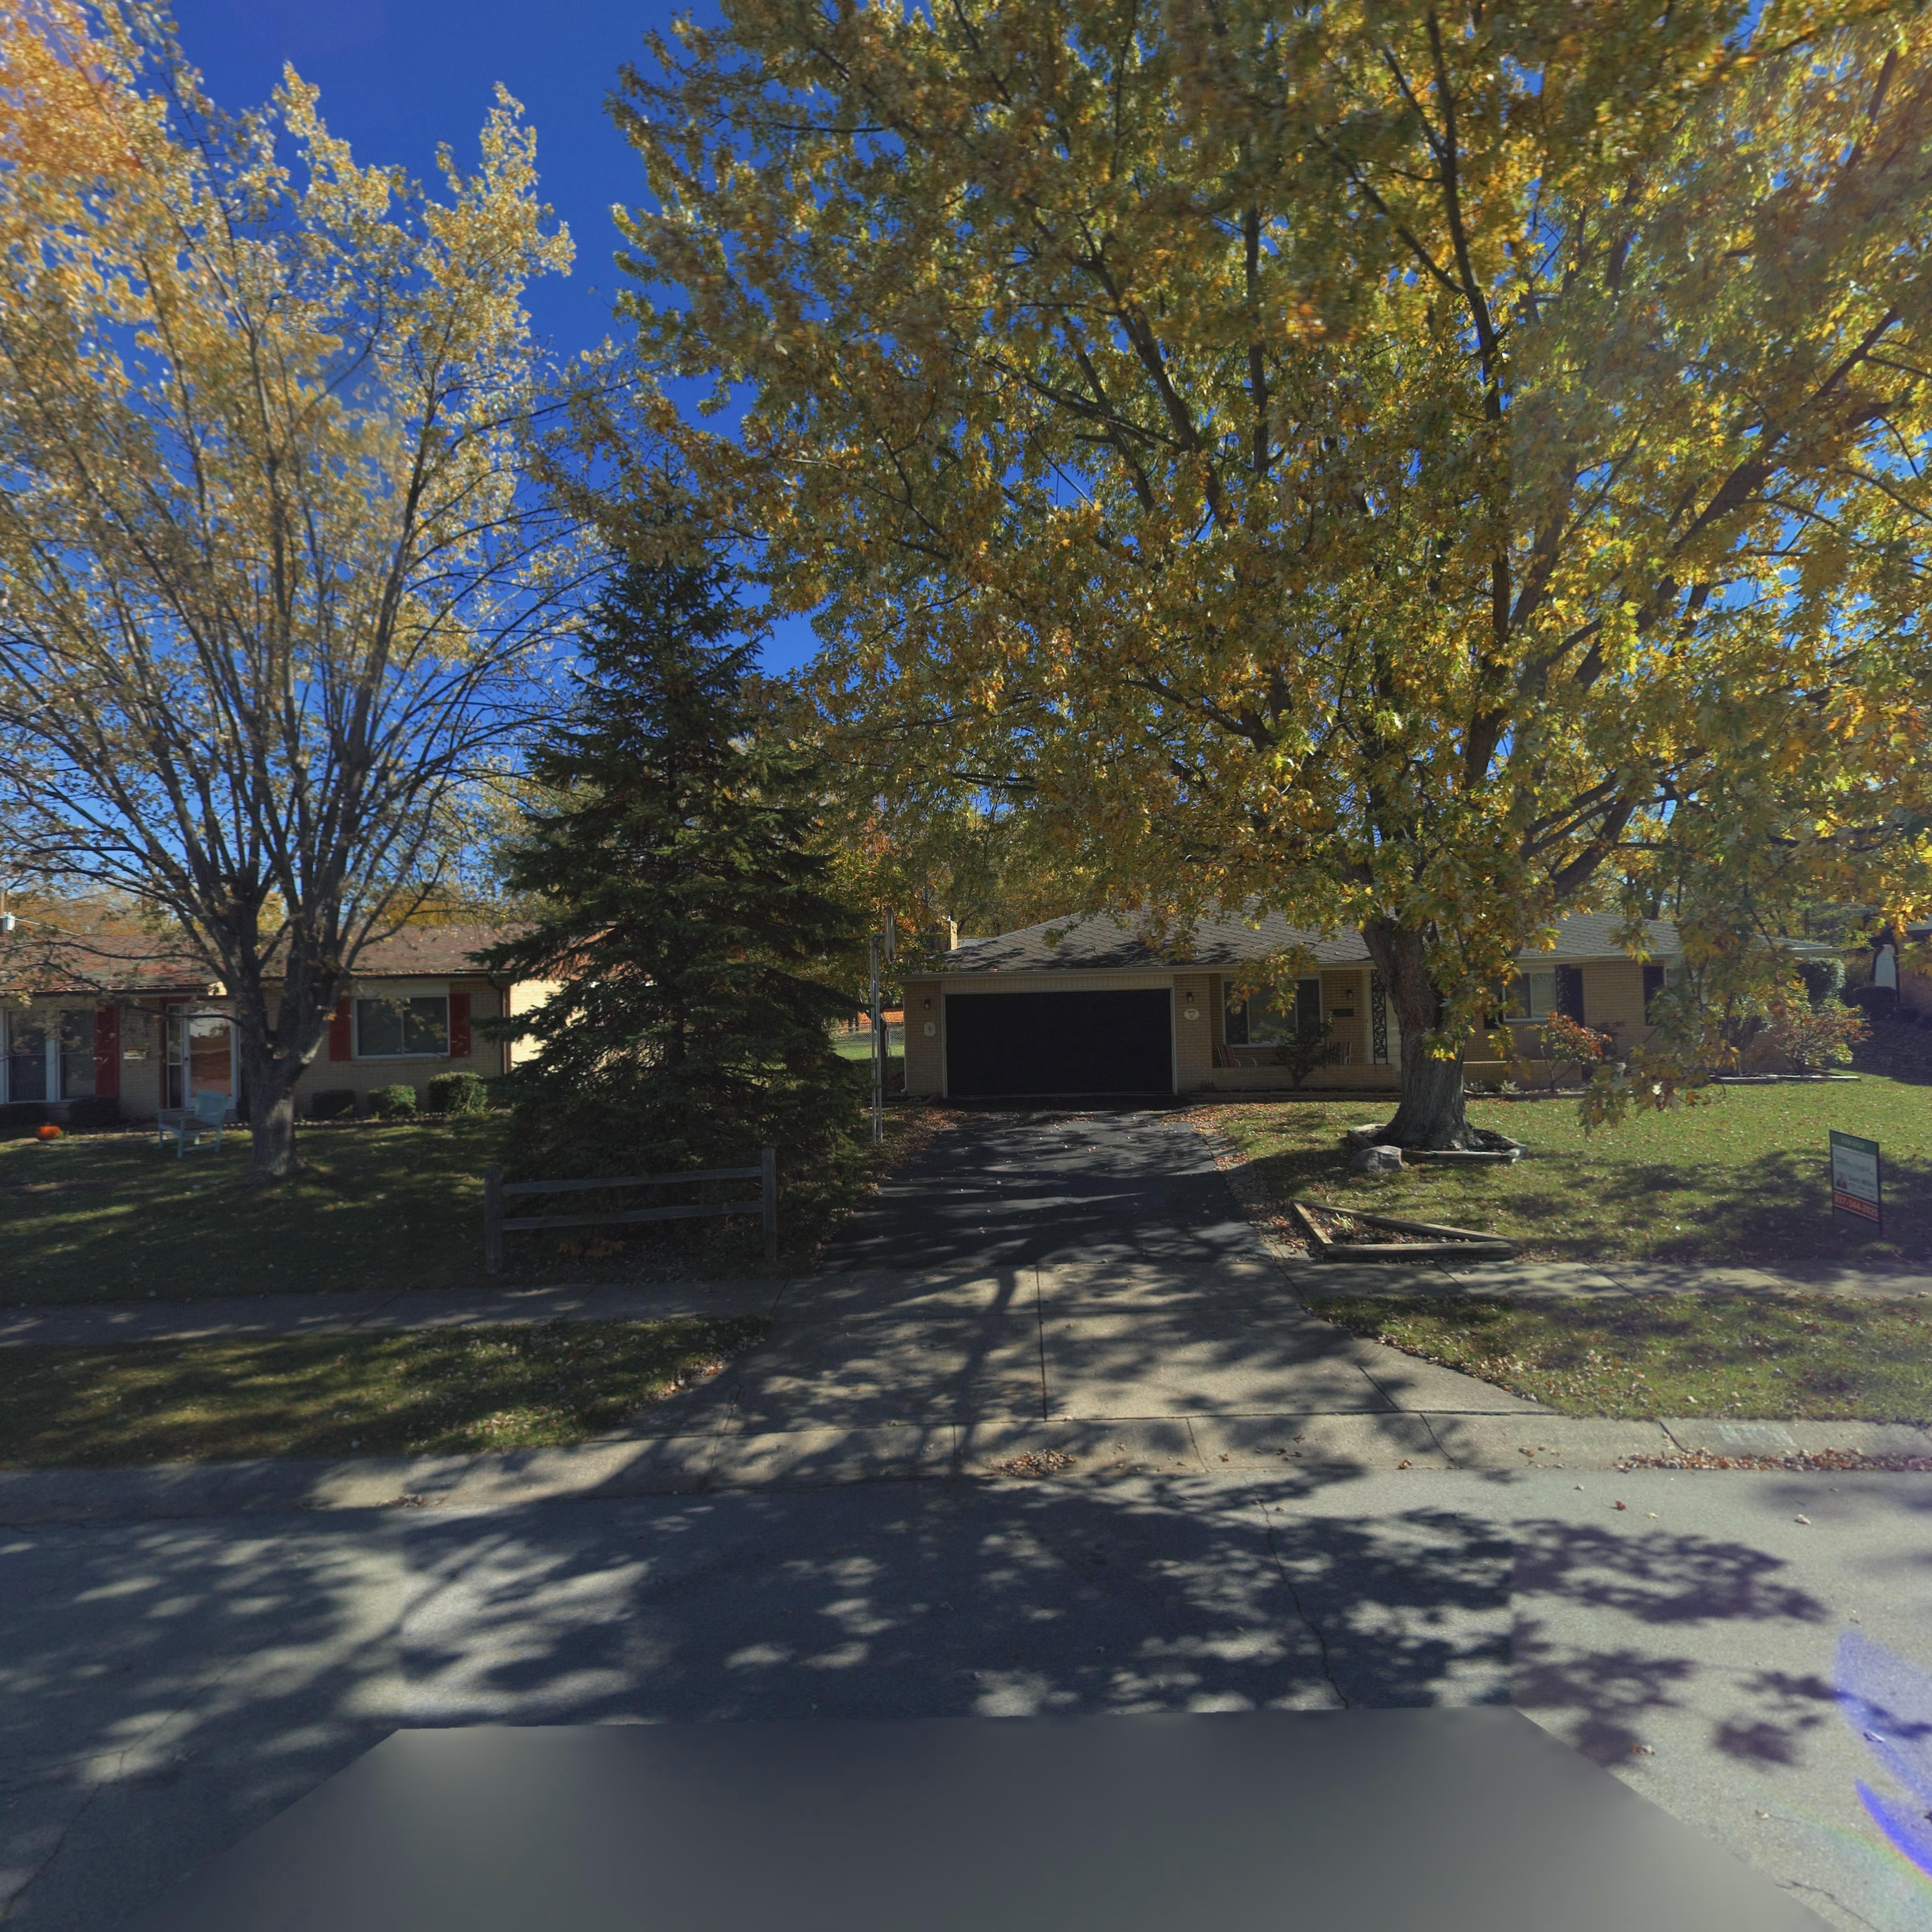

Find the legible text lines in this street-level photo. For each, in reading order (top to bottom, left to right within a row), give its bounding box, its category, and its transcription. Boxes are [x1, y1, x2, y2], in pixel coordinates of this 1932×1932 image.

[1188, 1012, 1196, 1016] StreetNumber: 210
[1733, 1427, 1774, 1443] StreetNumber: 210